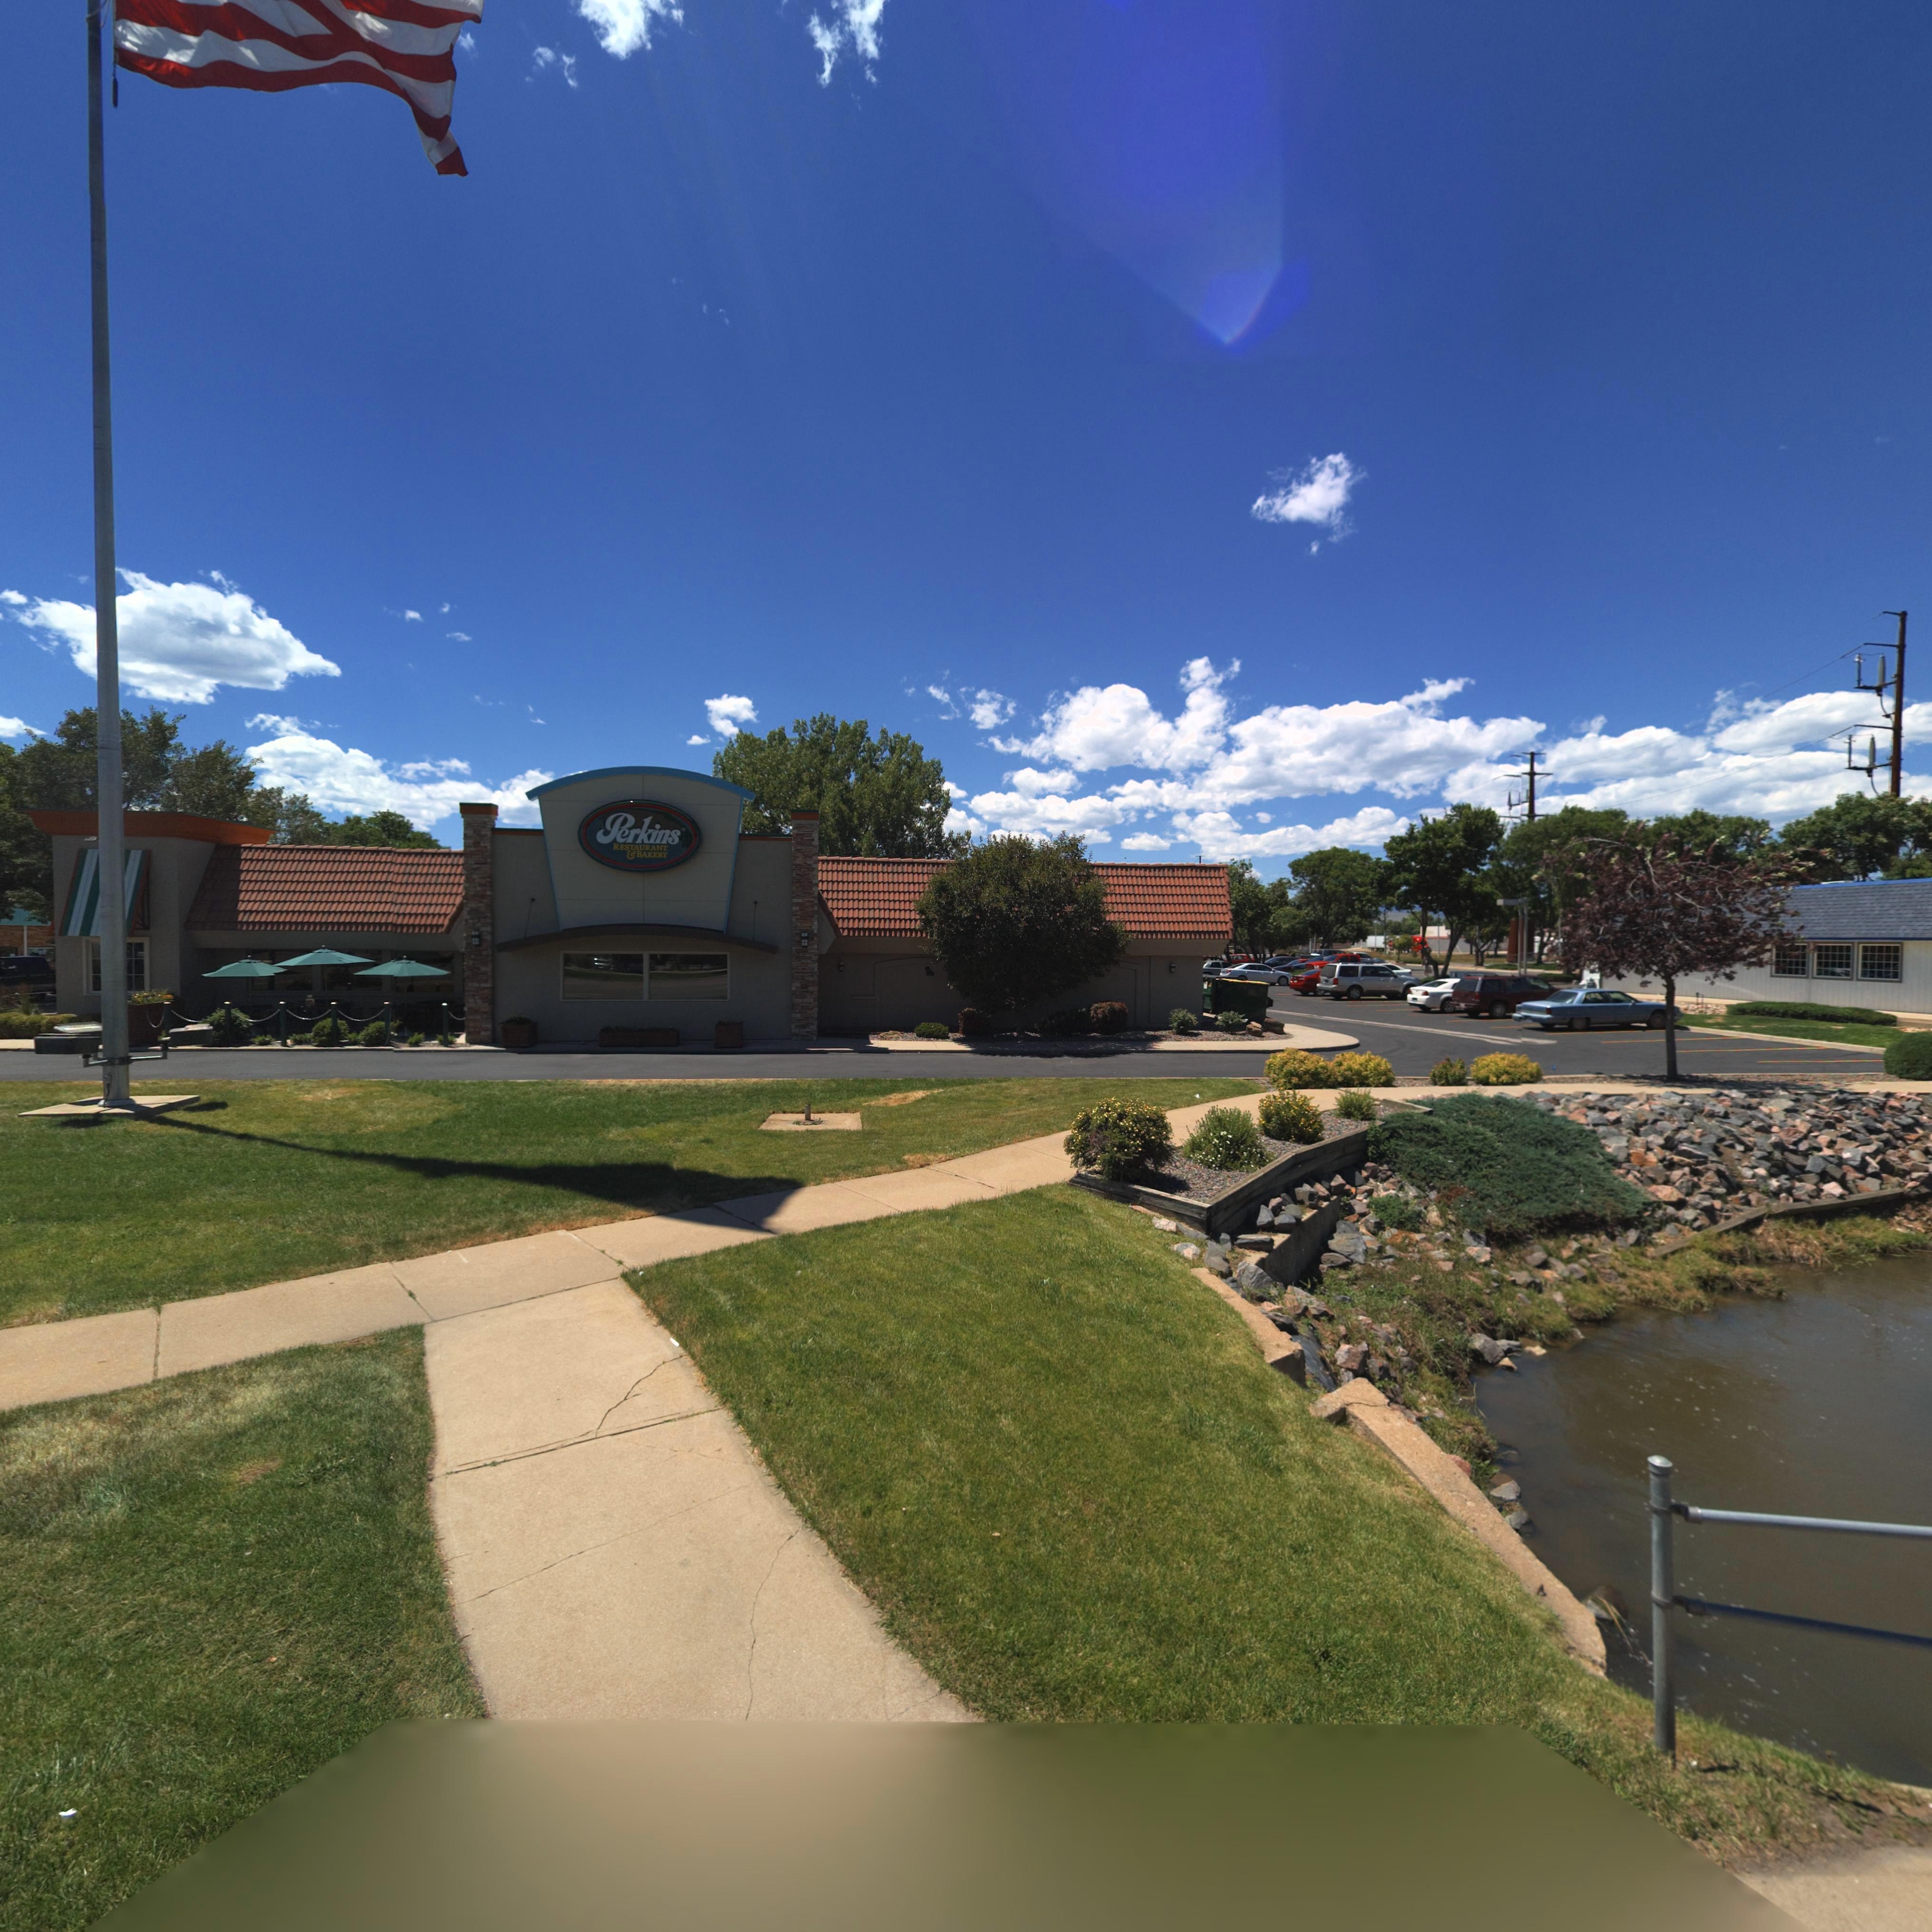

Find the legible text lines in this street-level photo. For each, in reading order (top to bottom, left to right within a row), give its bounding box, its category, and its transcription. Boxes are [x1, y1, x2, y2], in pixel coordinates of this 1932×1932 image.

[594, 811, 681, 846] BusinessName: Perkins
[613, 843, 668, 851] BusinessName: RESTAURANT
[625, 850, 668, 860] BusinessName: * BAKERY